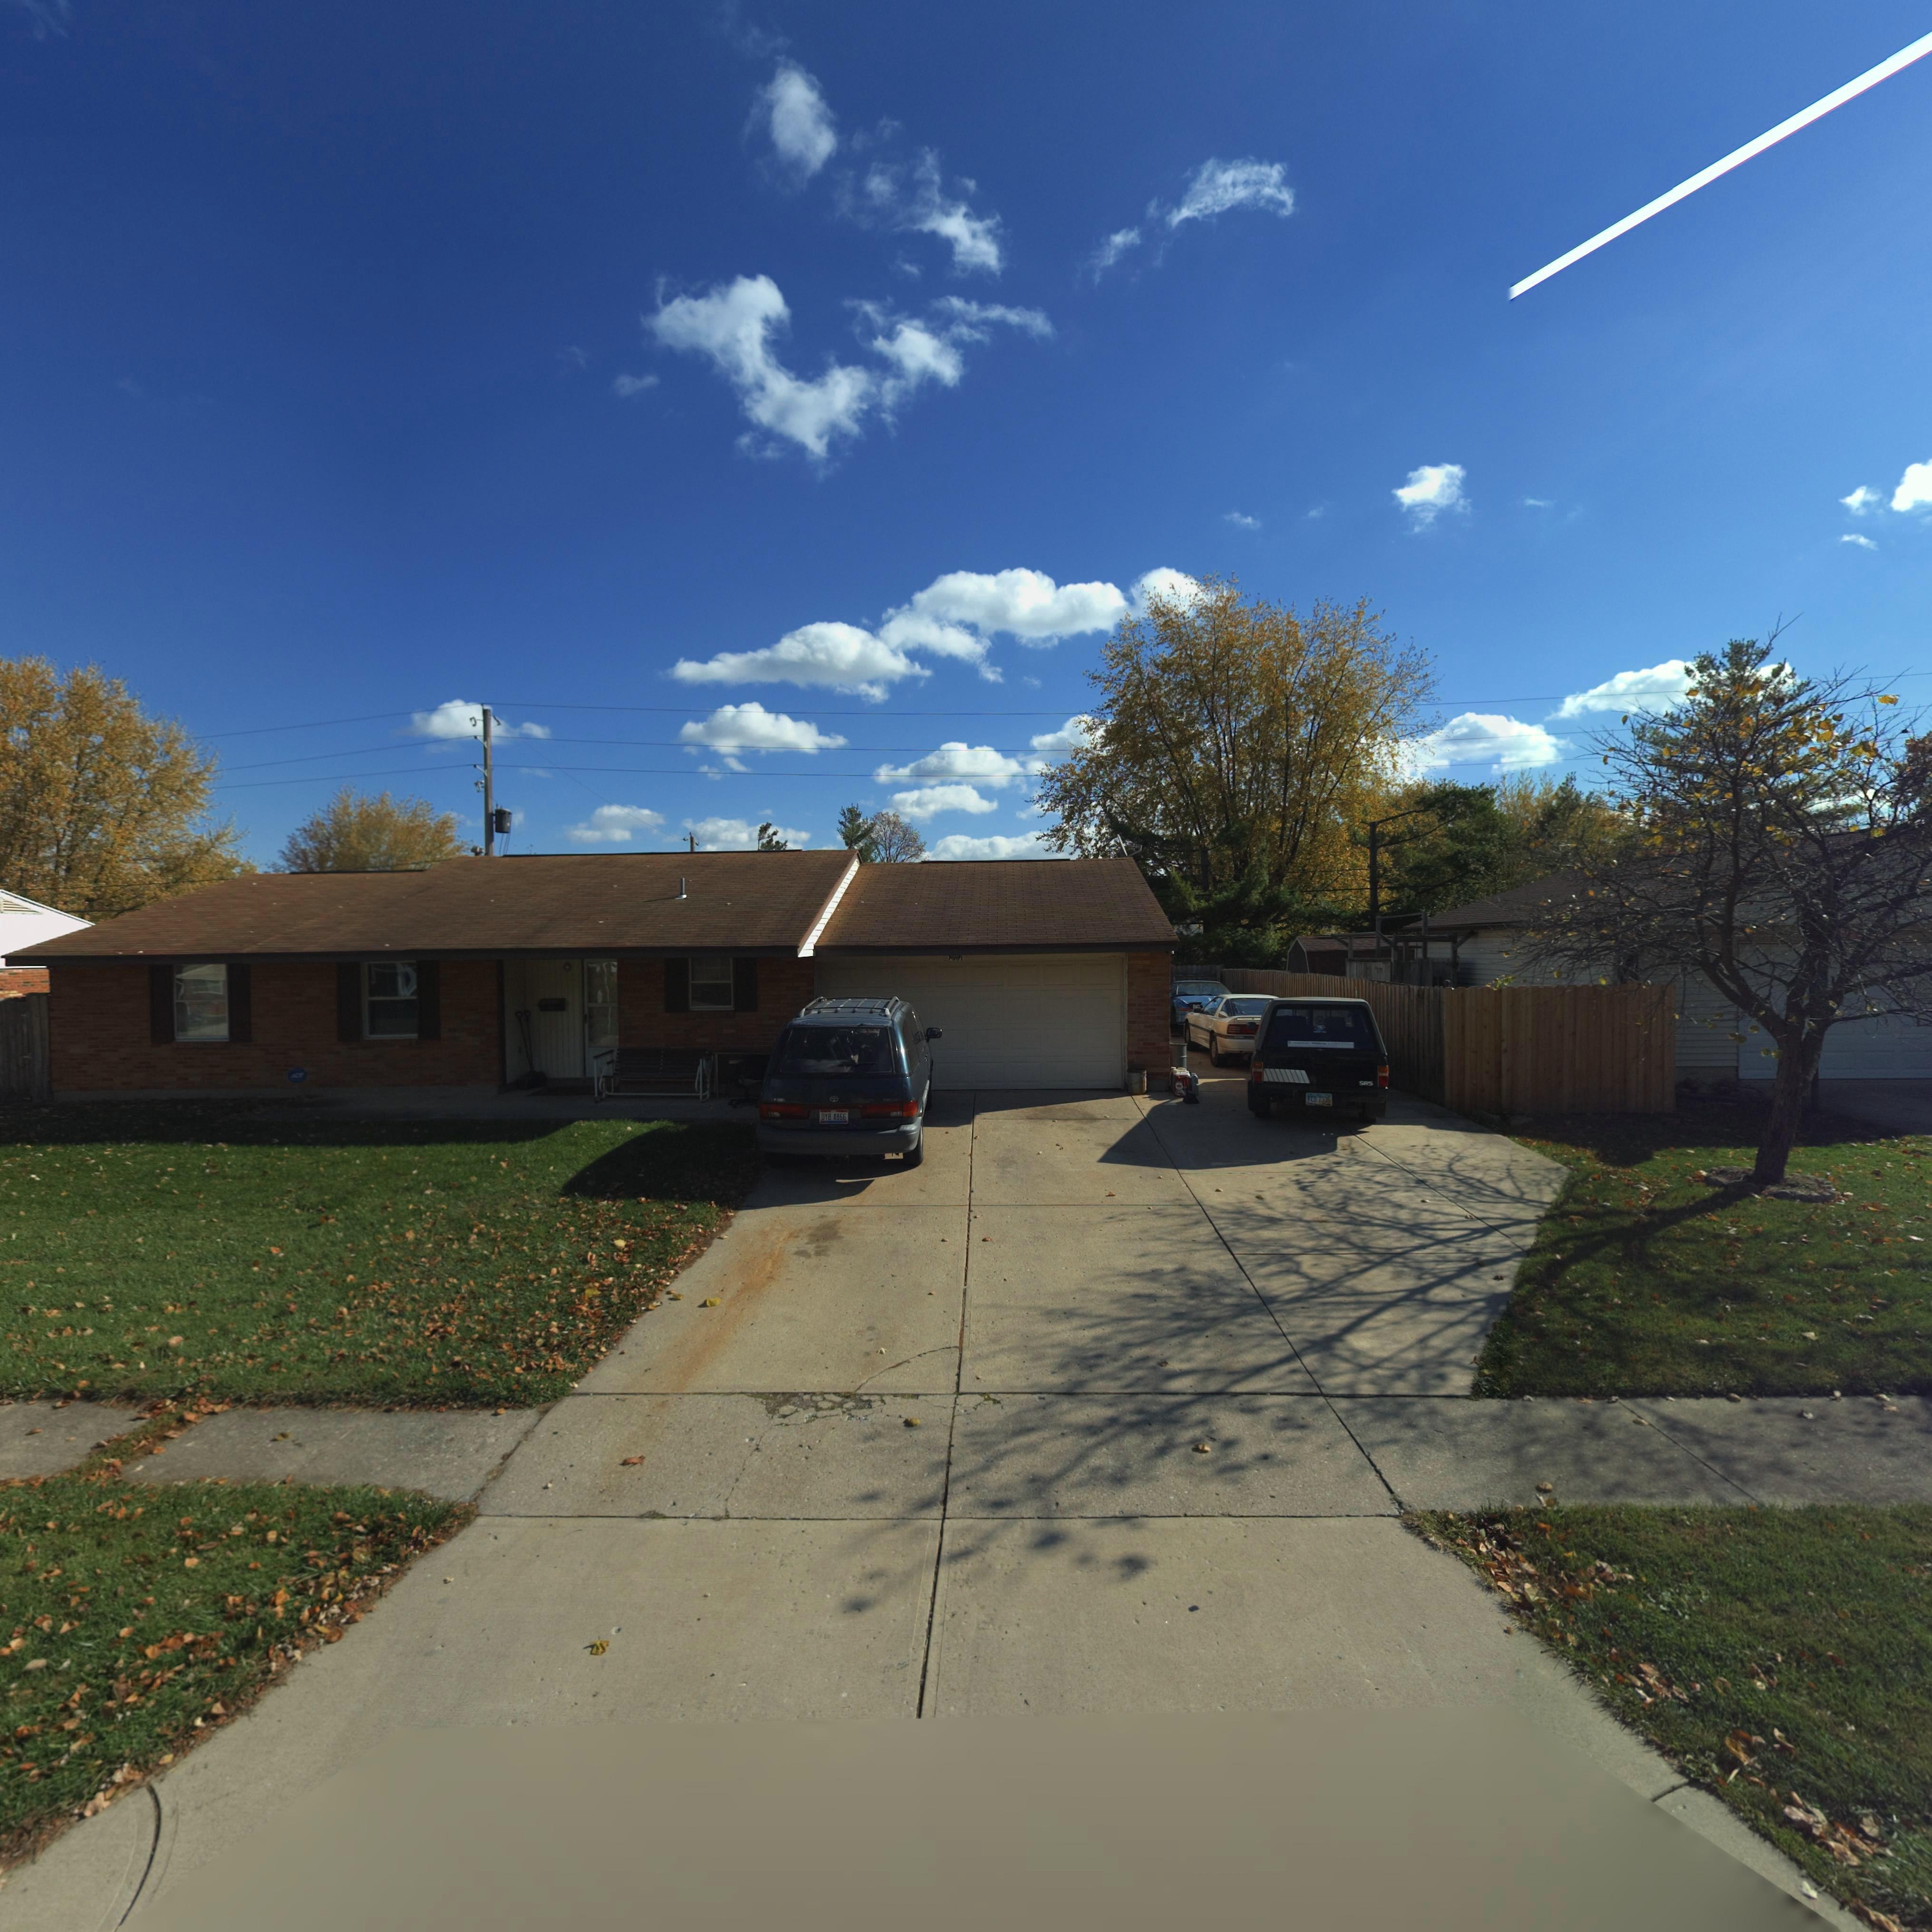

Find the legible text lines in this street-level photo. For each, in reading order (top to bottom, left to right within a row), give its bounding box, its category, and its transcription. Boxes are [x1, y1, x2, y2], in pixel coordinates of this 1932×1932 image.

[960, 955, 963, 961] StreetNumber: 1